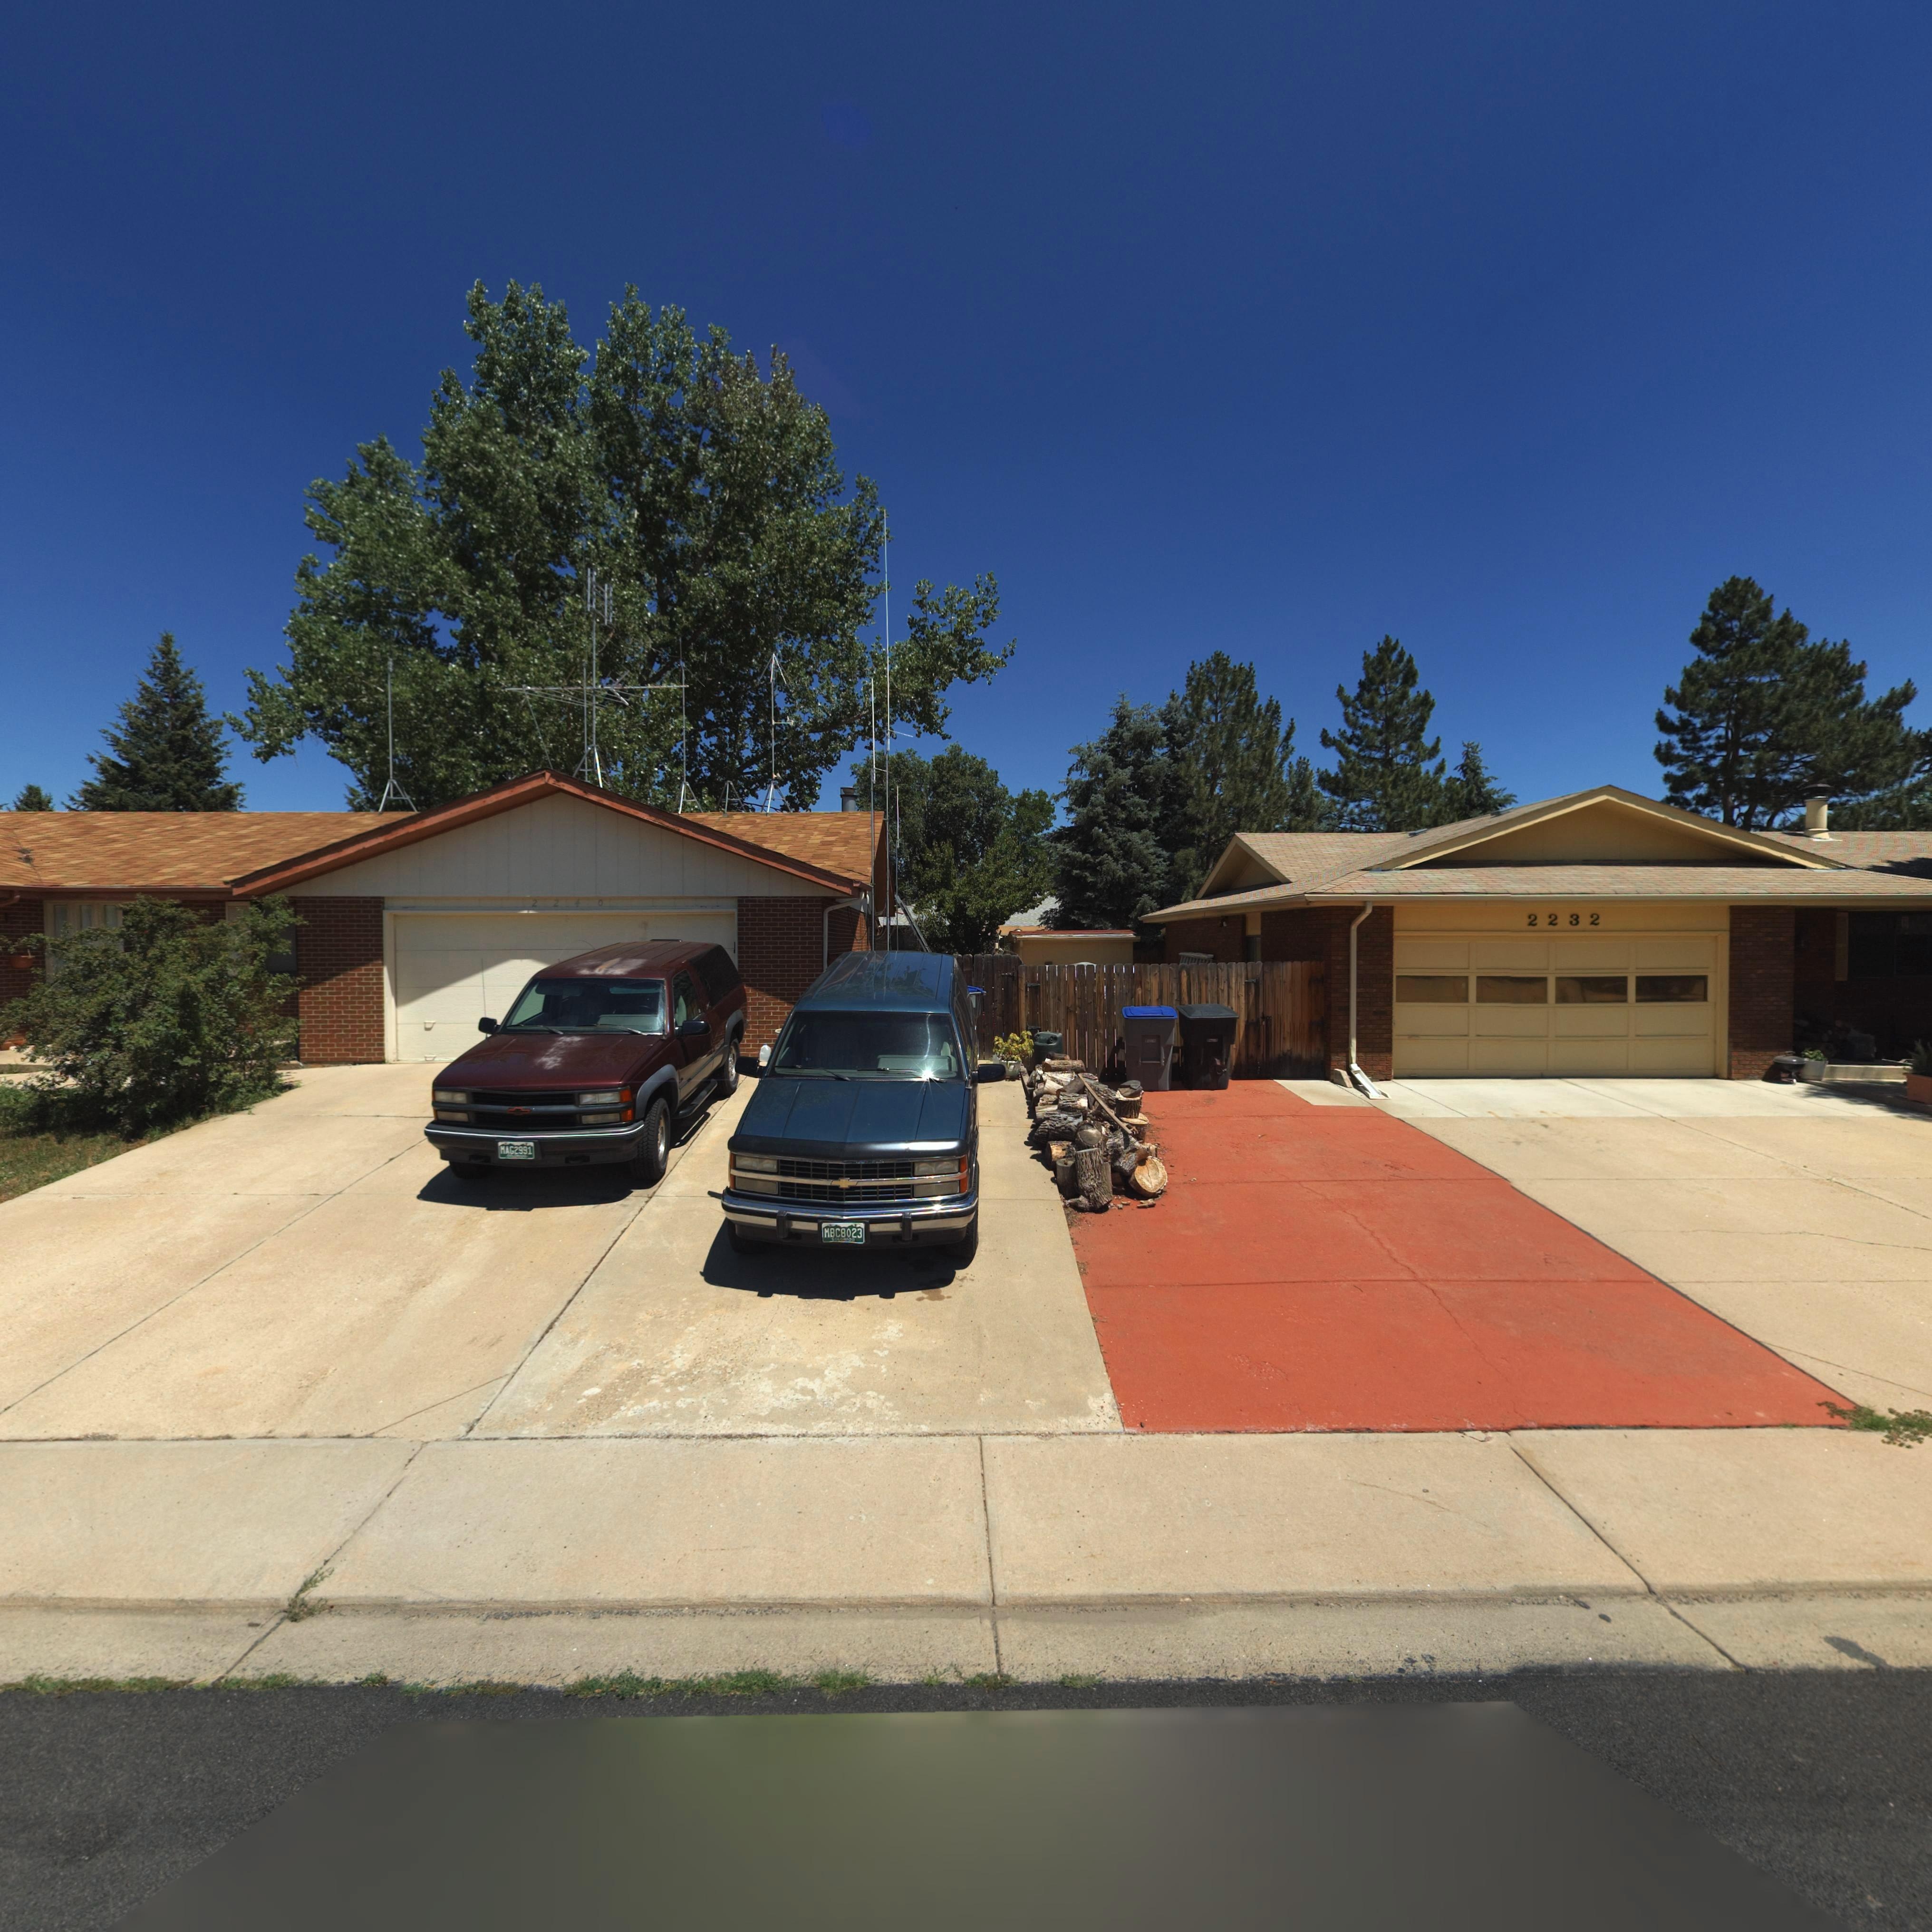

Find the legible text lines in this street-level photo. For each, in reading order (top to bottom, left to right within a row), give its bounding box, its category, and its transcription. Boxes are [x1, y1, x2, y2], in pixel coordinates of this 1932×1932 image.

[531, 899, 603, 907] StreetNumber: 2240
[1526, 912, 1601, 927] StreetNumber: 2232